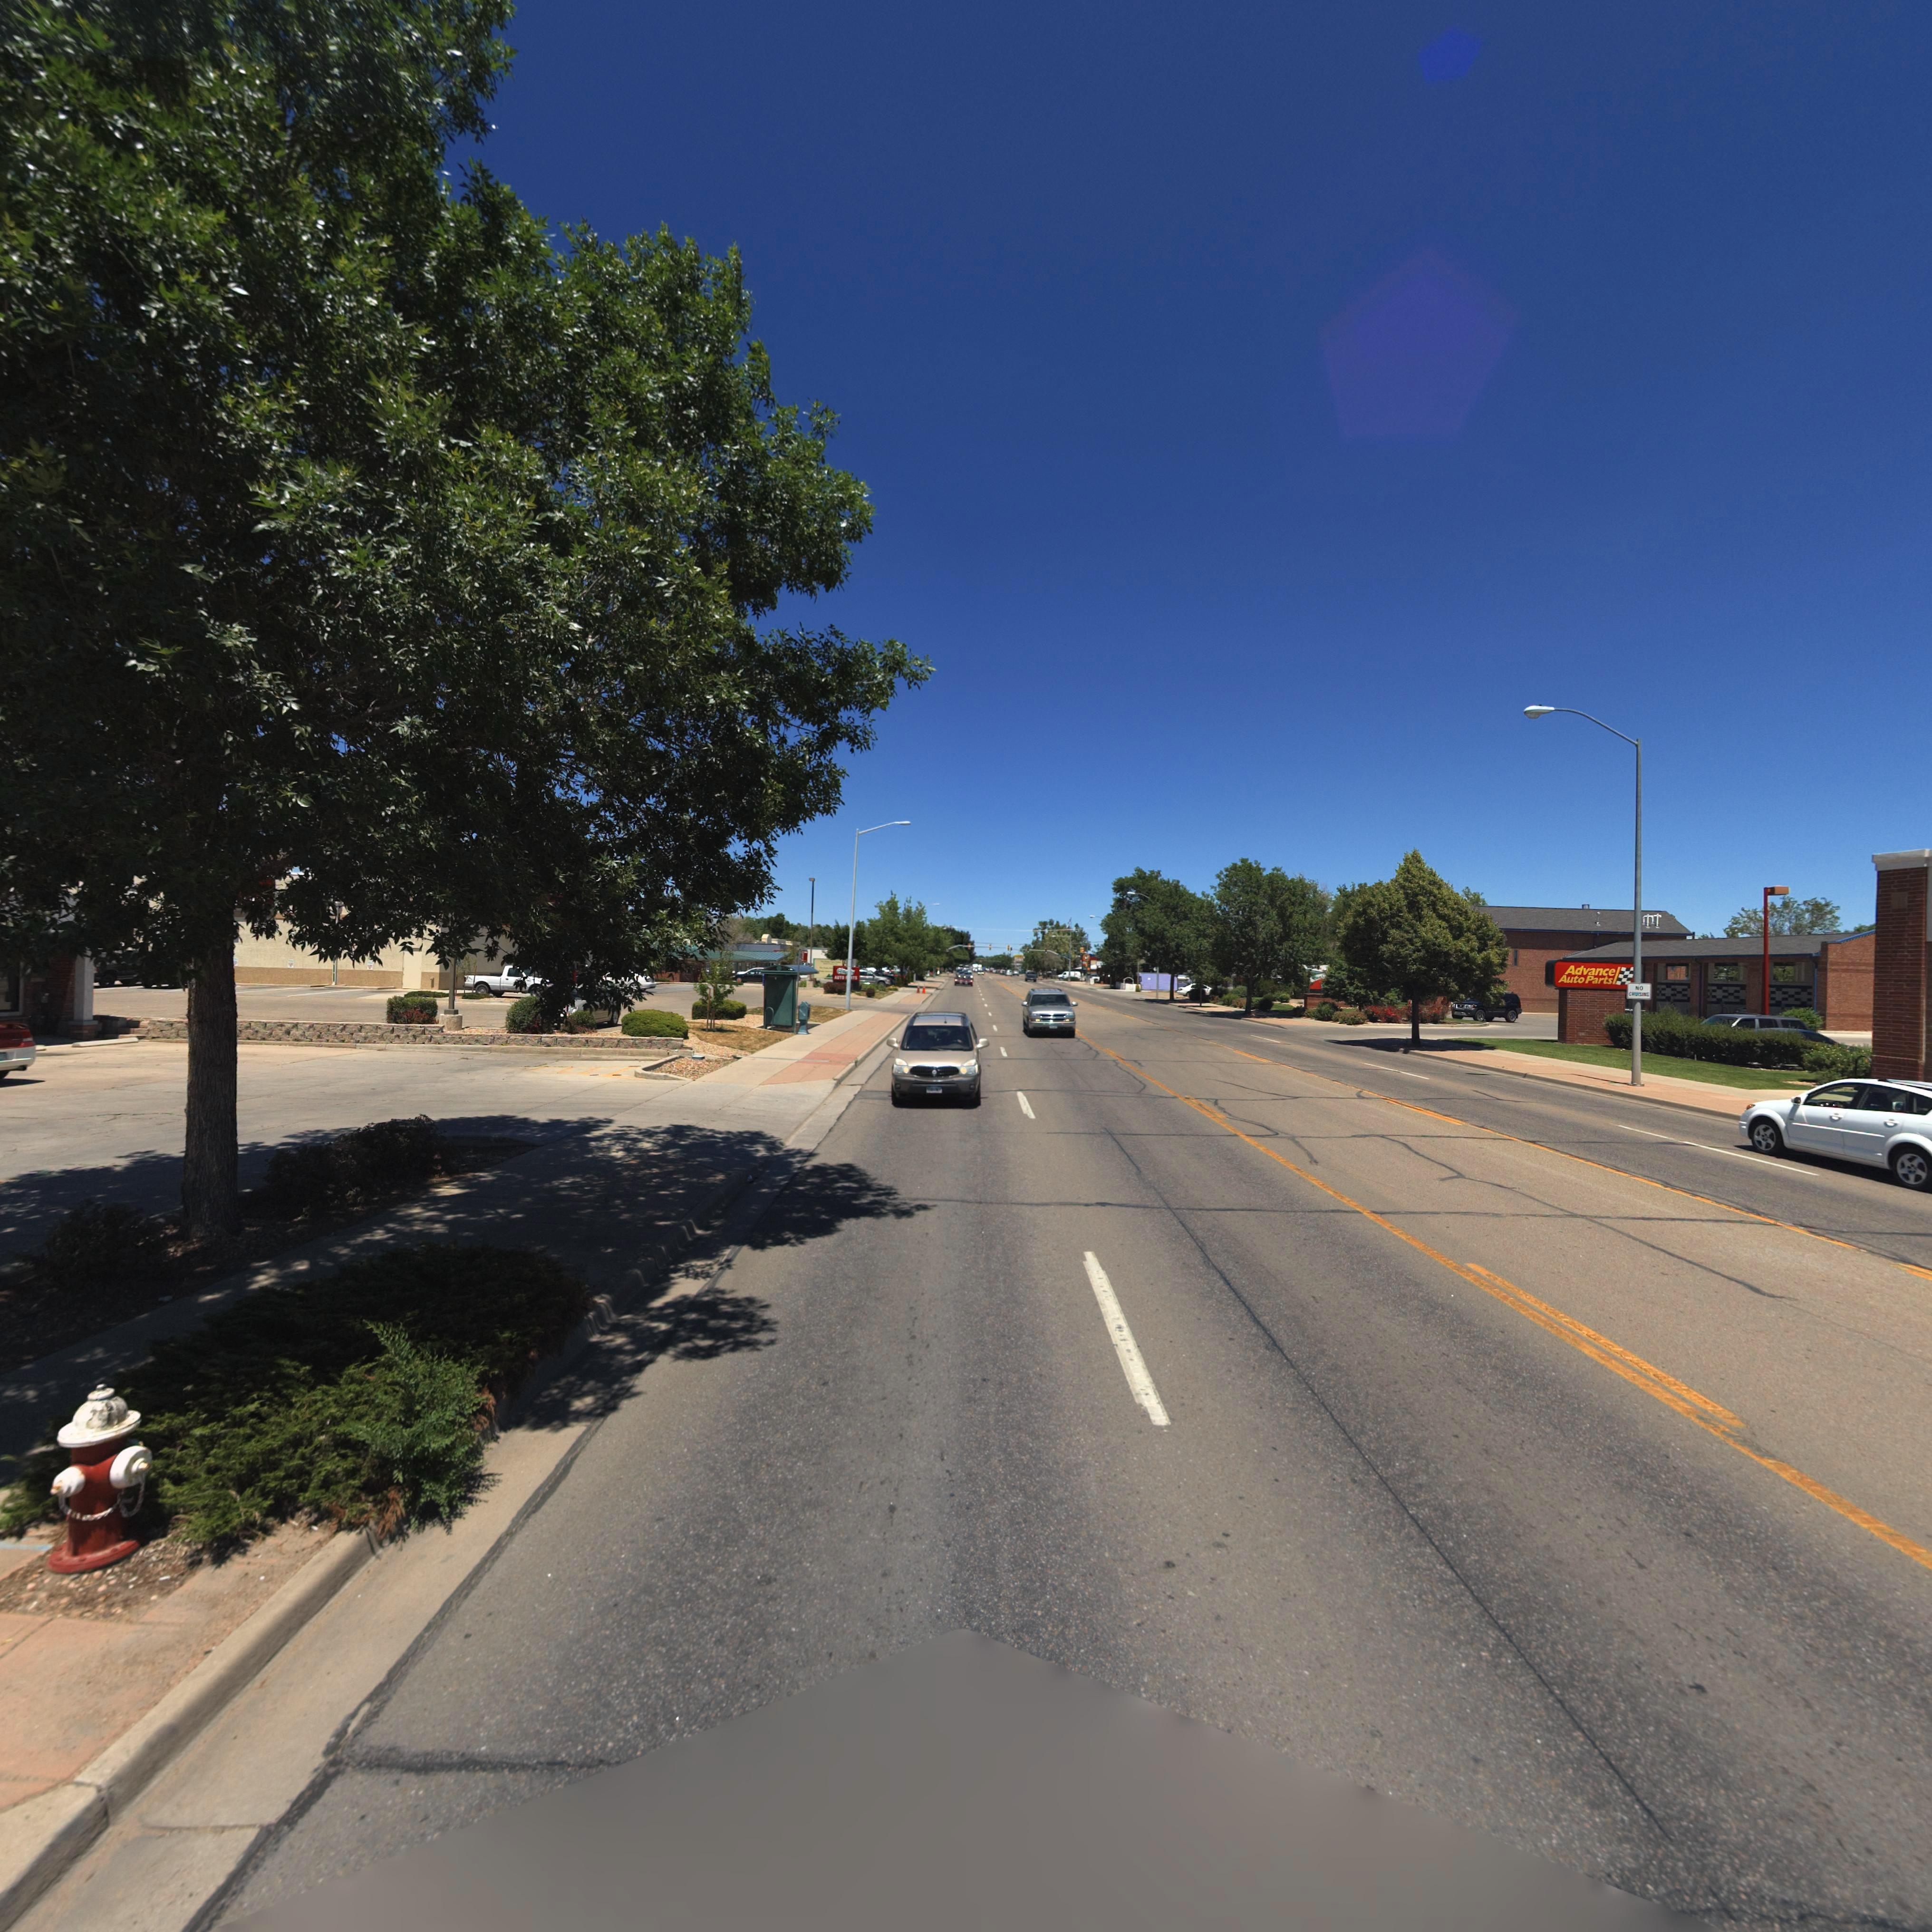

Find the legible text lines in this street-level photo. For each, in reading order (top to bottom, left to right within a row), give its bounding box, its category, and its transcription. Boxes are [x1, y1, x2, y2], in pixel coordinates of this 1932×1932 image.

[1564, 965, 1615, 976] BusinessName: Advance
[1557, 974, 1613, 984] BusinessName: Auto Pars